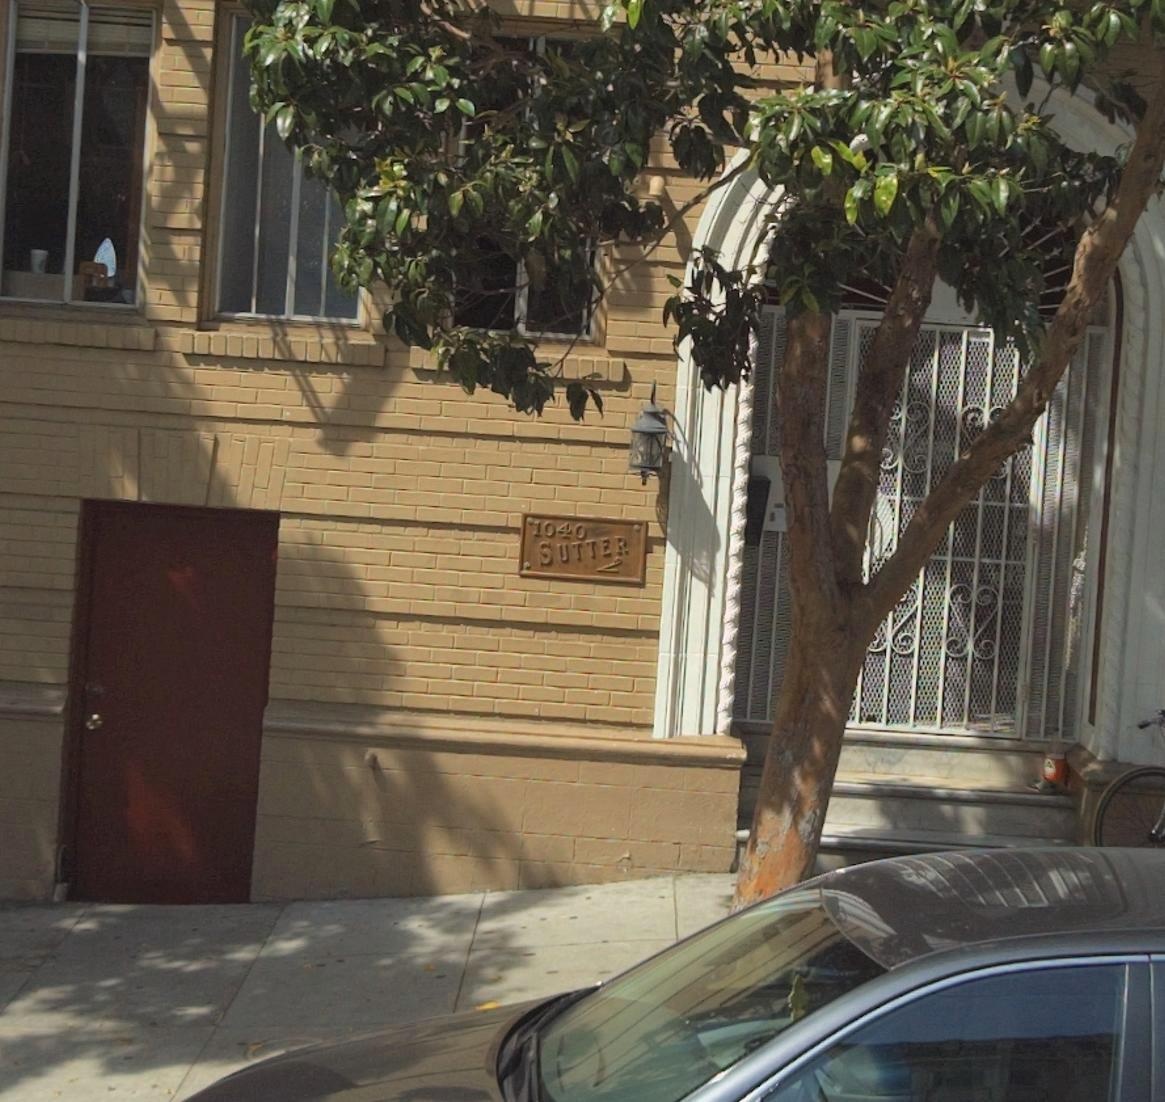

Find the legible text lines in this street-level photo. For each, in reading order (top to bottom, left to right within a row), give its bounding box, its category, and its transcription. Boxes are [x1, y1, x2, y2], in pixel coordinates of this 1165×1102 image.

[531, 519, 589, 541] StreetNumber: 1040
[537, 533, 631, 568] StreetName: SUTTER